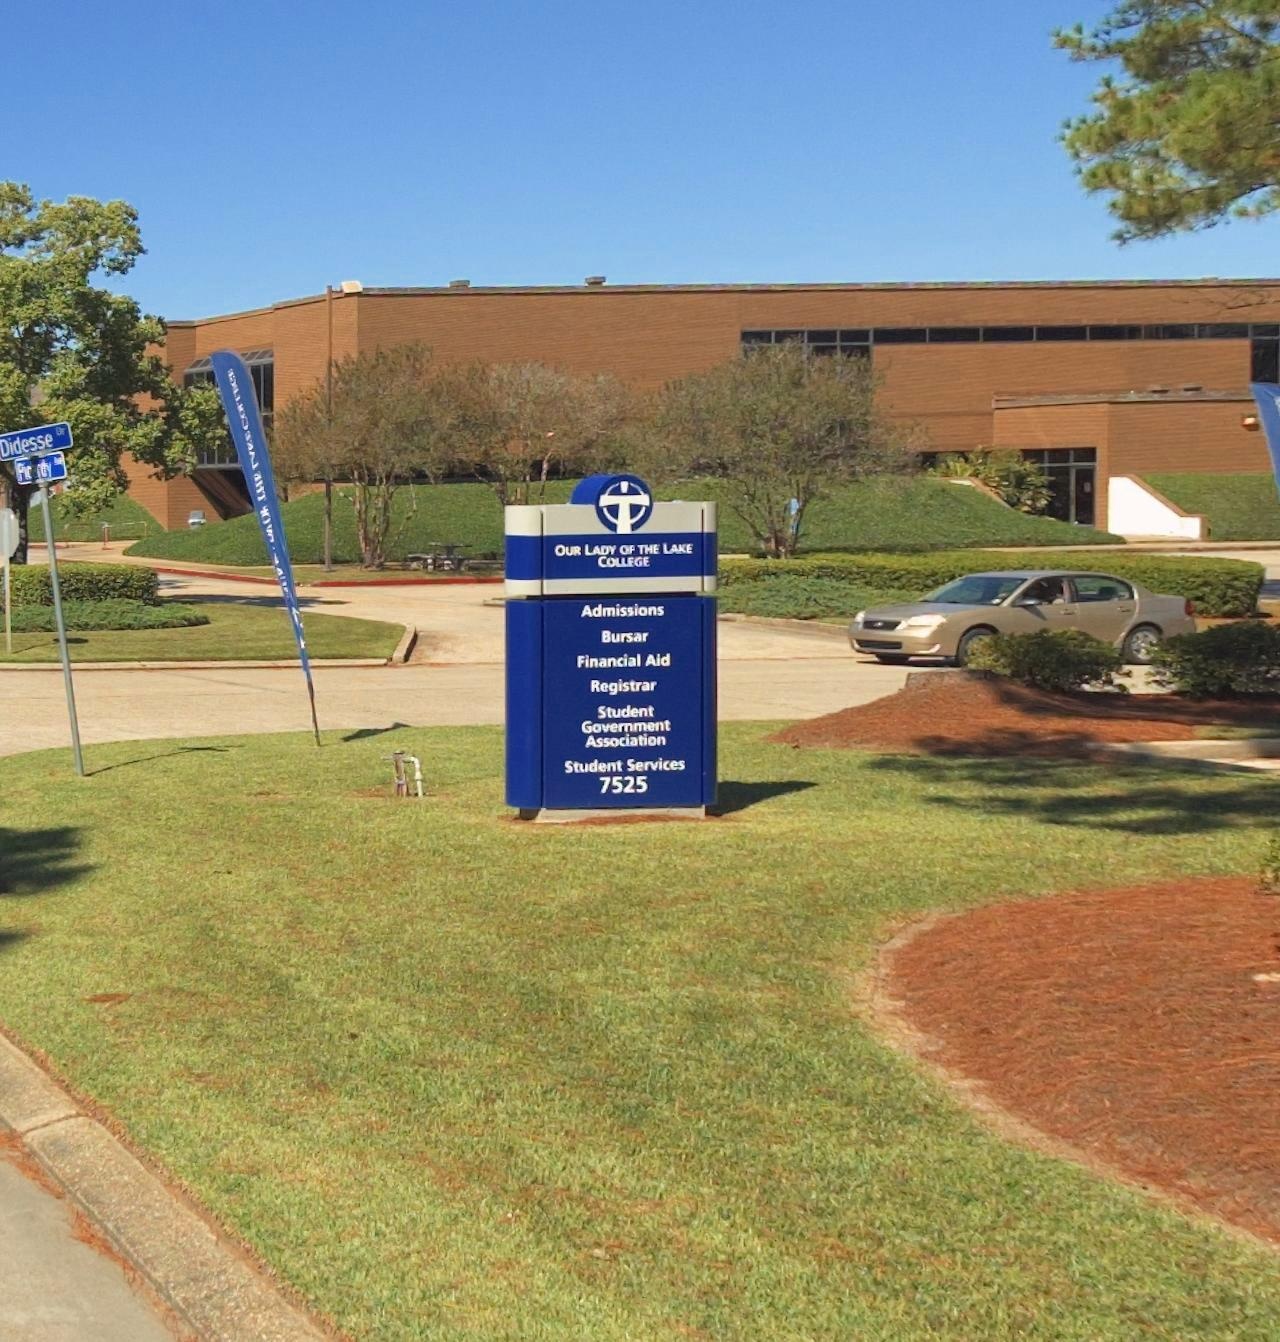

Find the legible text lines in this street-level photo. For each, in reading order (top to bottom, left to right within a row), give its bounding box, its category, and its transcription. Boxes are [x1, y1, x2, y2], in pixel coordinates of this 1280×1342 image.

[0, 423, 70, 459] StreetName: Didesse Dr
[13, 455, 70, 486] StreetName: Picardy Ave
[552, 541, 697, 558] BusinessName: OUR LADY OF THE LAKE
[596, 555, 654, 571] BusinessName: COLLEGE
[579, 601, 666, 619] BusinessName: Admissions
[598, 627, 652, 646] BusinessName: Bursar
[576, 651, 674, 671] BusinessName: Financial Aid
[590, 676, 659, 697] BusinessName: Registrar
[592, 702, 659, 720] BusinessName: Student
[579, 716, 674, 736] BusinessName: Government
[582, 732, 669, 750] BusinessName: Association
[562, 755, 690, 775] BusinessName: Student Services
[597, 775, 650, 795] StreetNumber: 7525